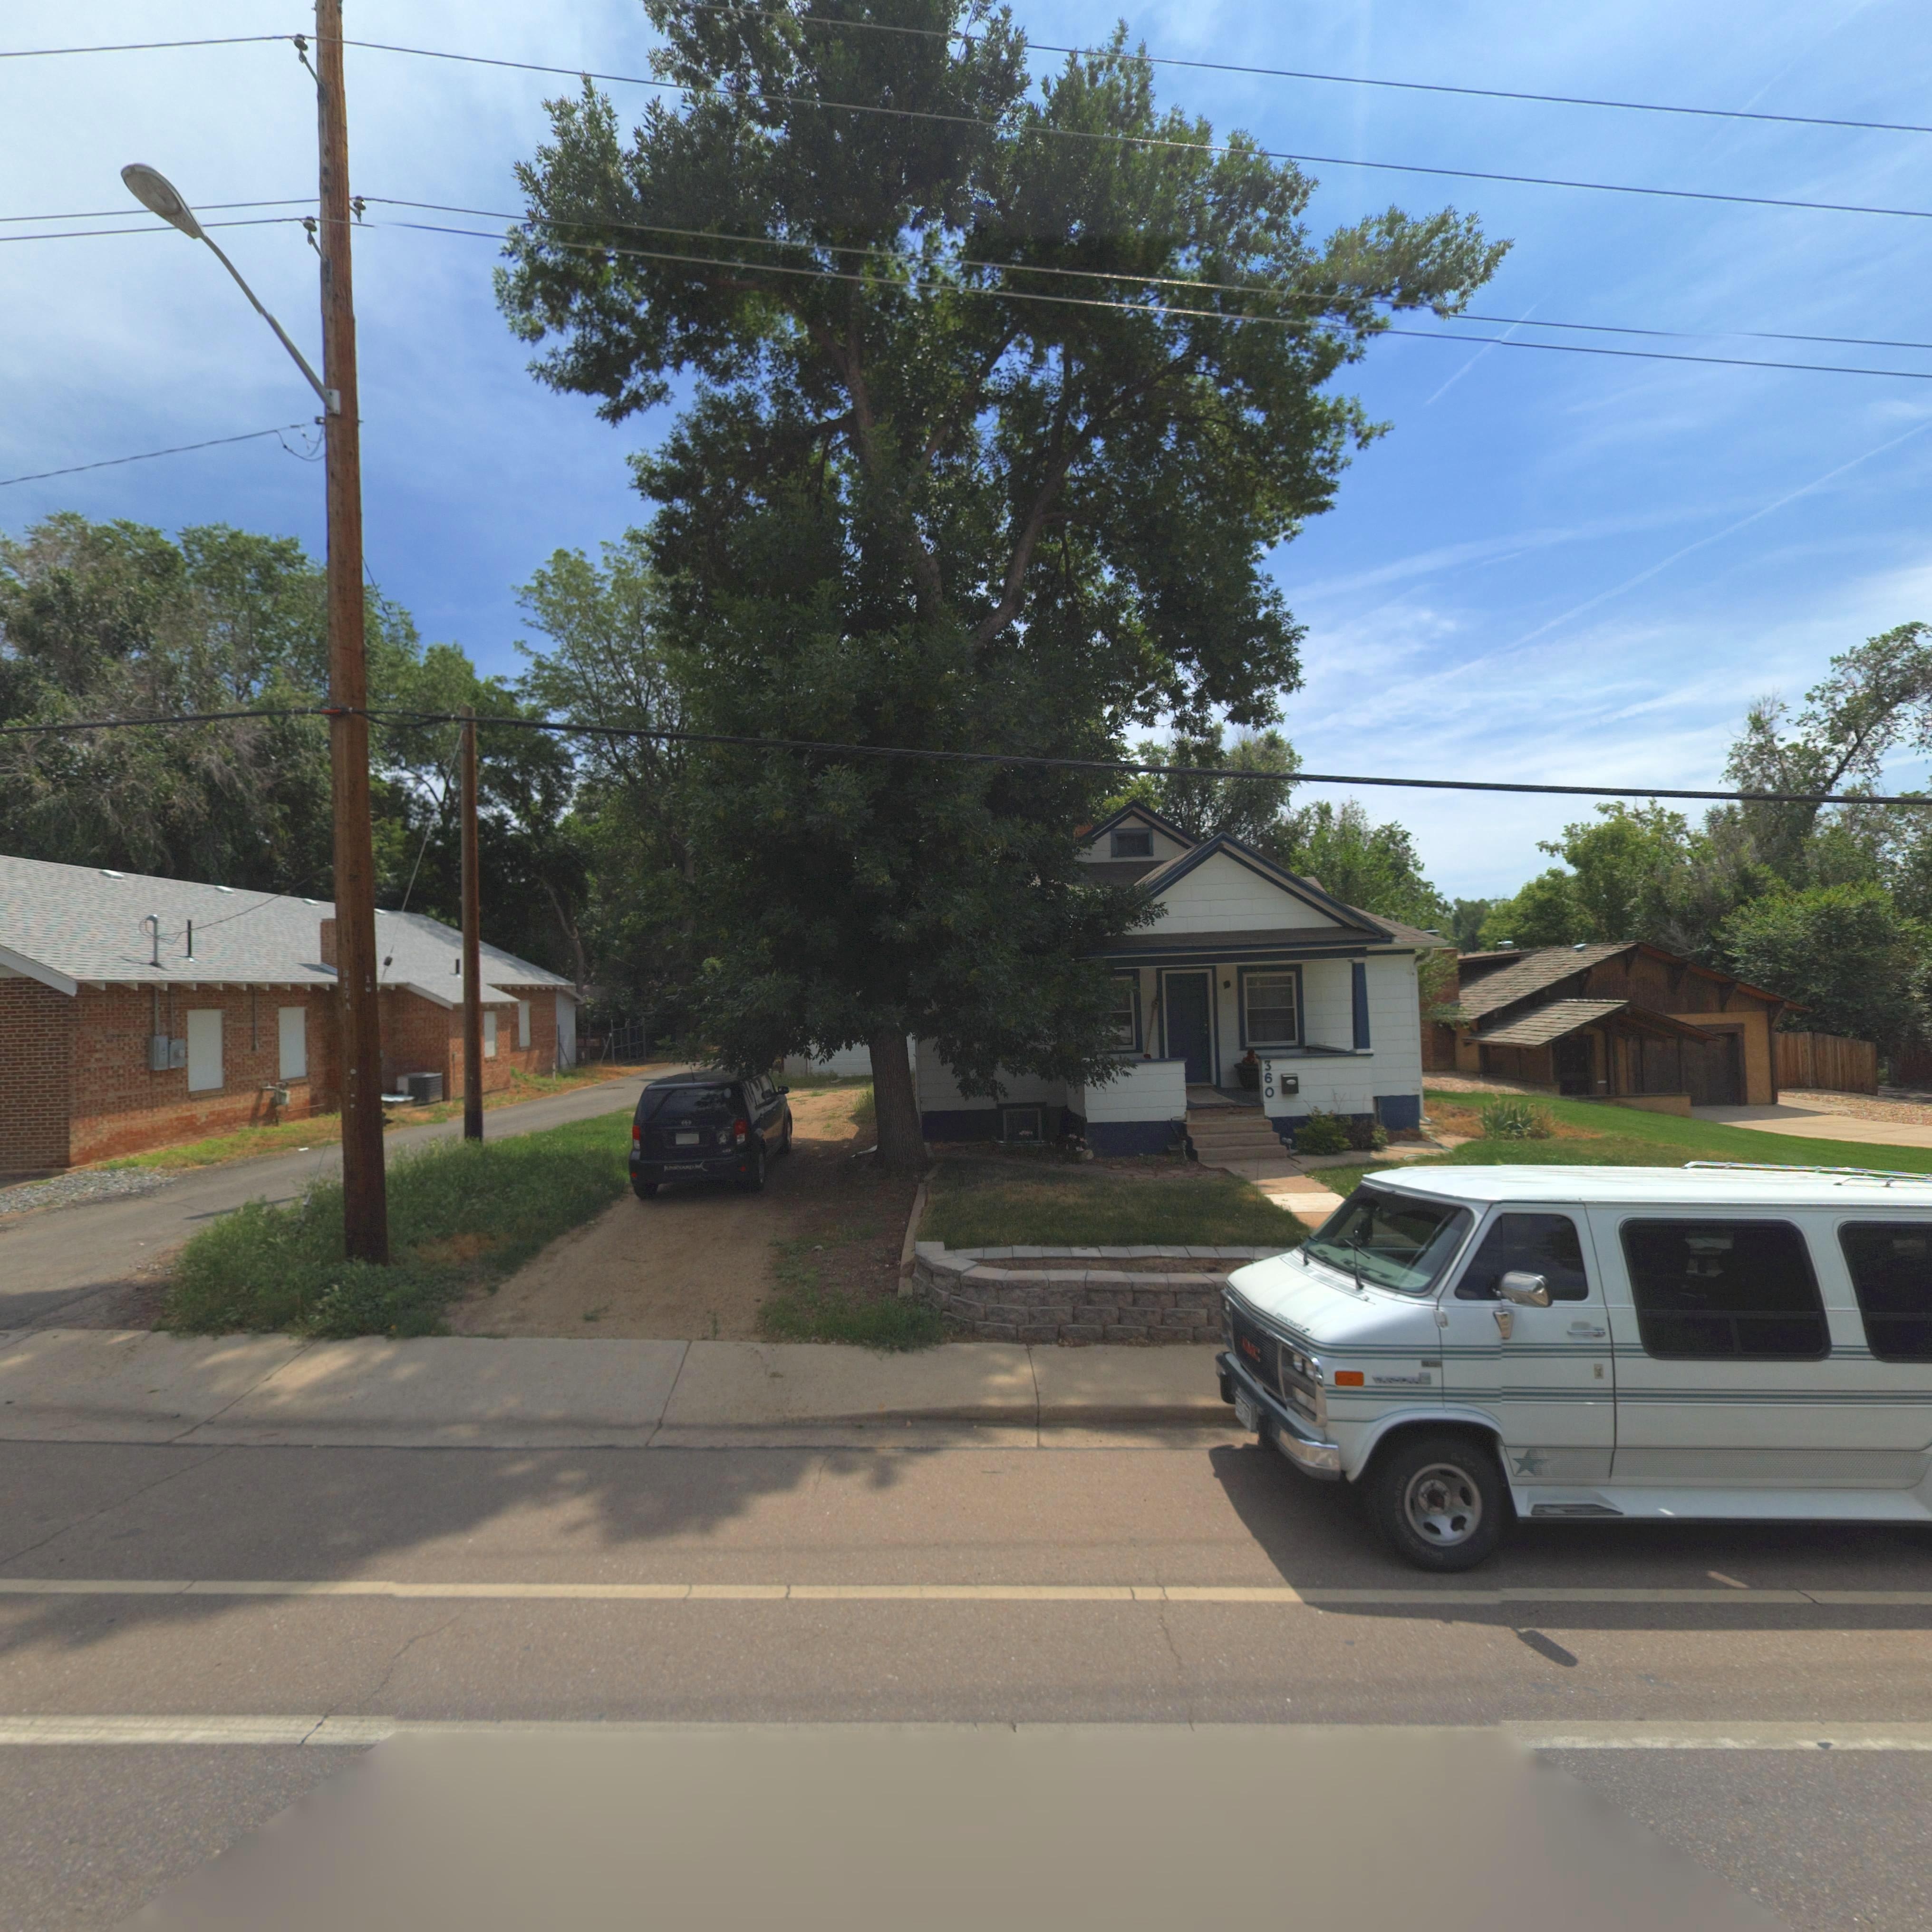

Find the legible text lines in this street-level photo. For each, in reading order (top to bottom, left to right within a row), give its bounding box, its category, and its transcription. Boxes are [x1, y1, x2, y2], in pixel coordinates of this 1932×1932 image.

[1263, 1059, 1275, 1099] StreetNumber: 360